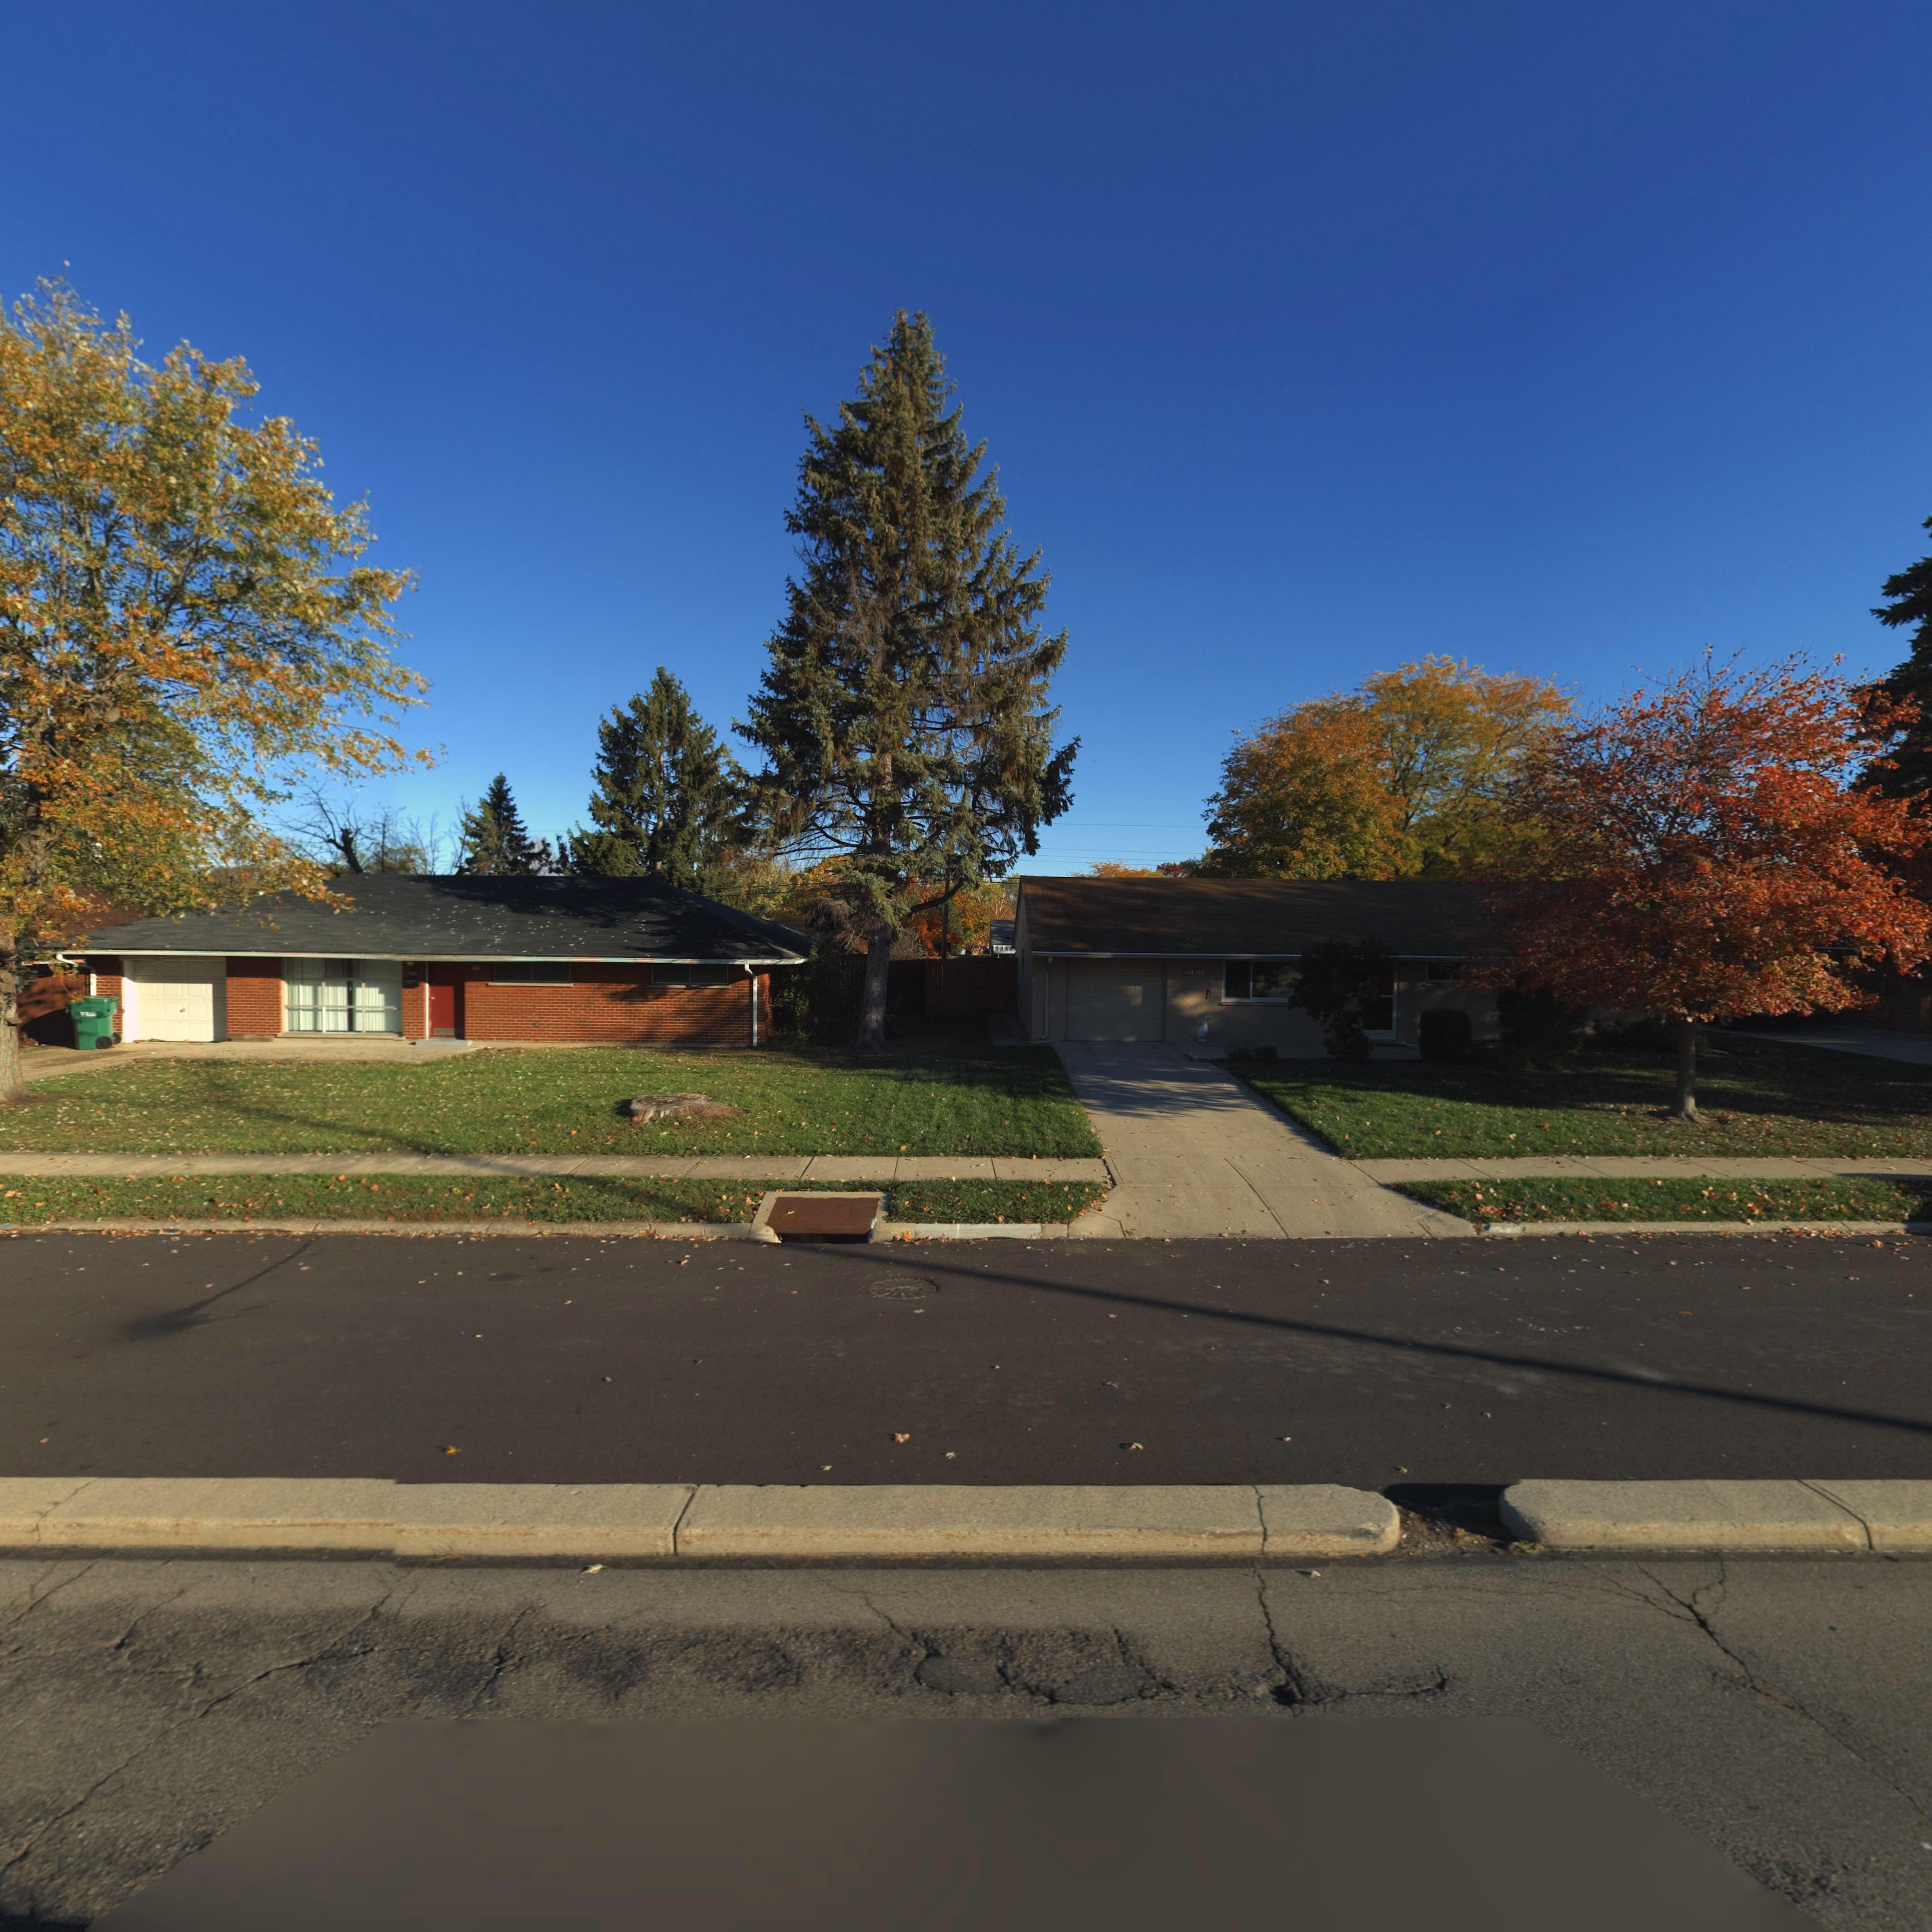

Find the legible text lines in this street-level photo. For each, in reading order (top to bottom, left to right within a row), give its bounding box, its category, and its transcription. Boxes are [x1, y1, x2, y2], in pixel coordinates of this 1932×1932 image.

[1189, 969, 1203, 976] StreetNumber: 1*1*